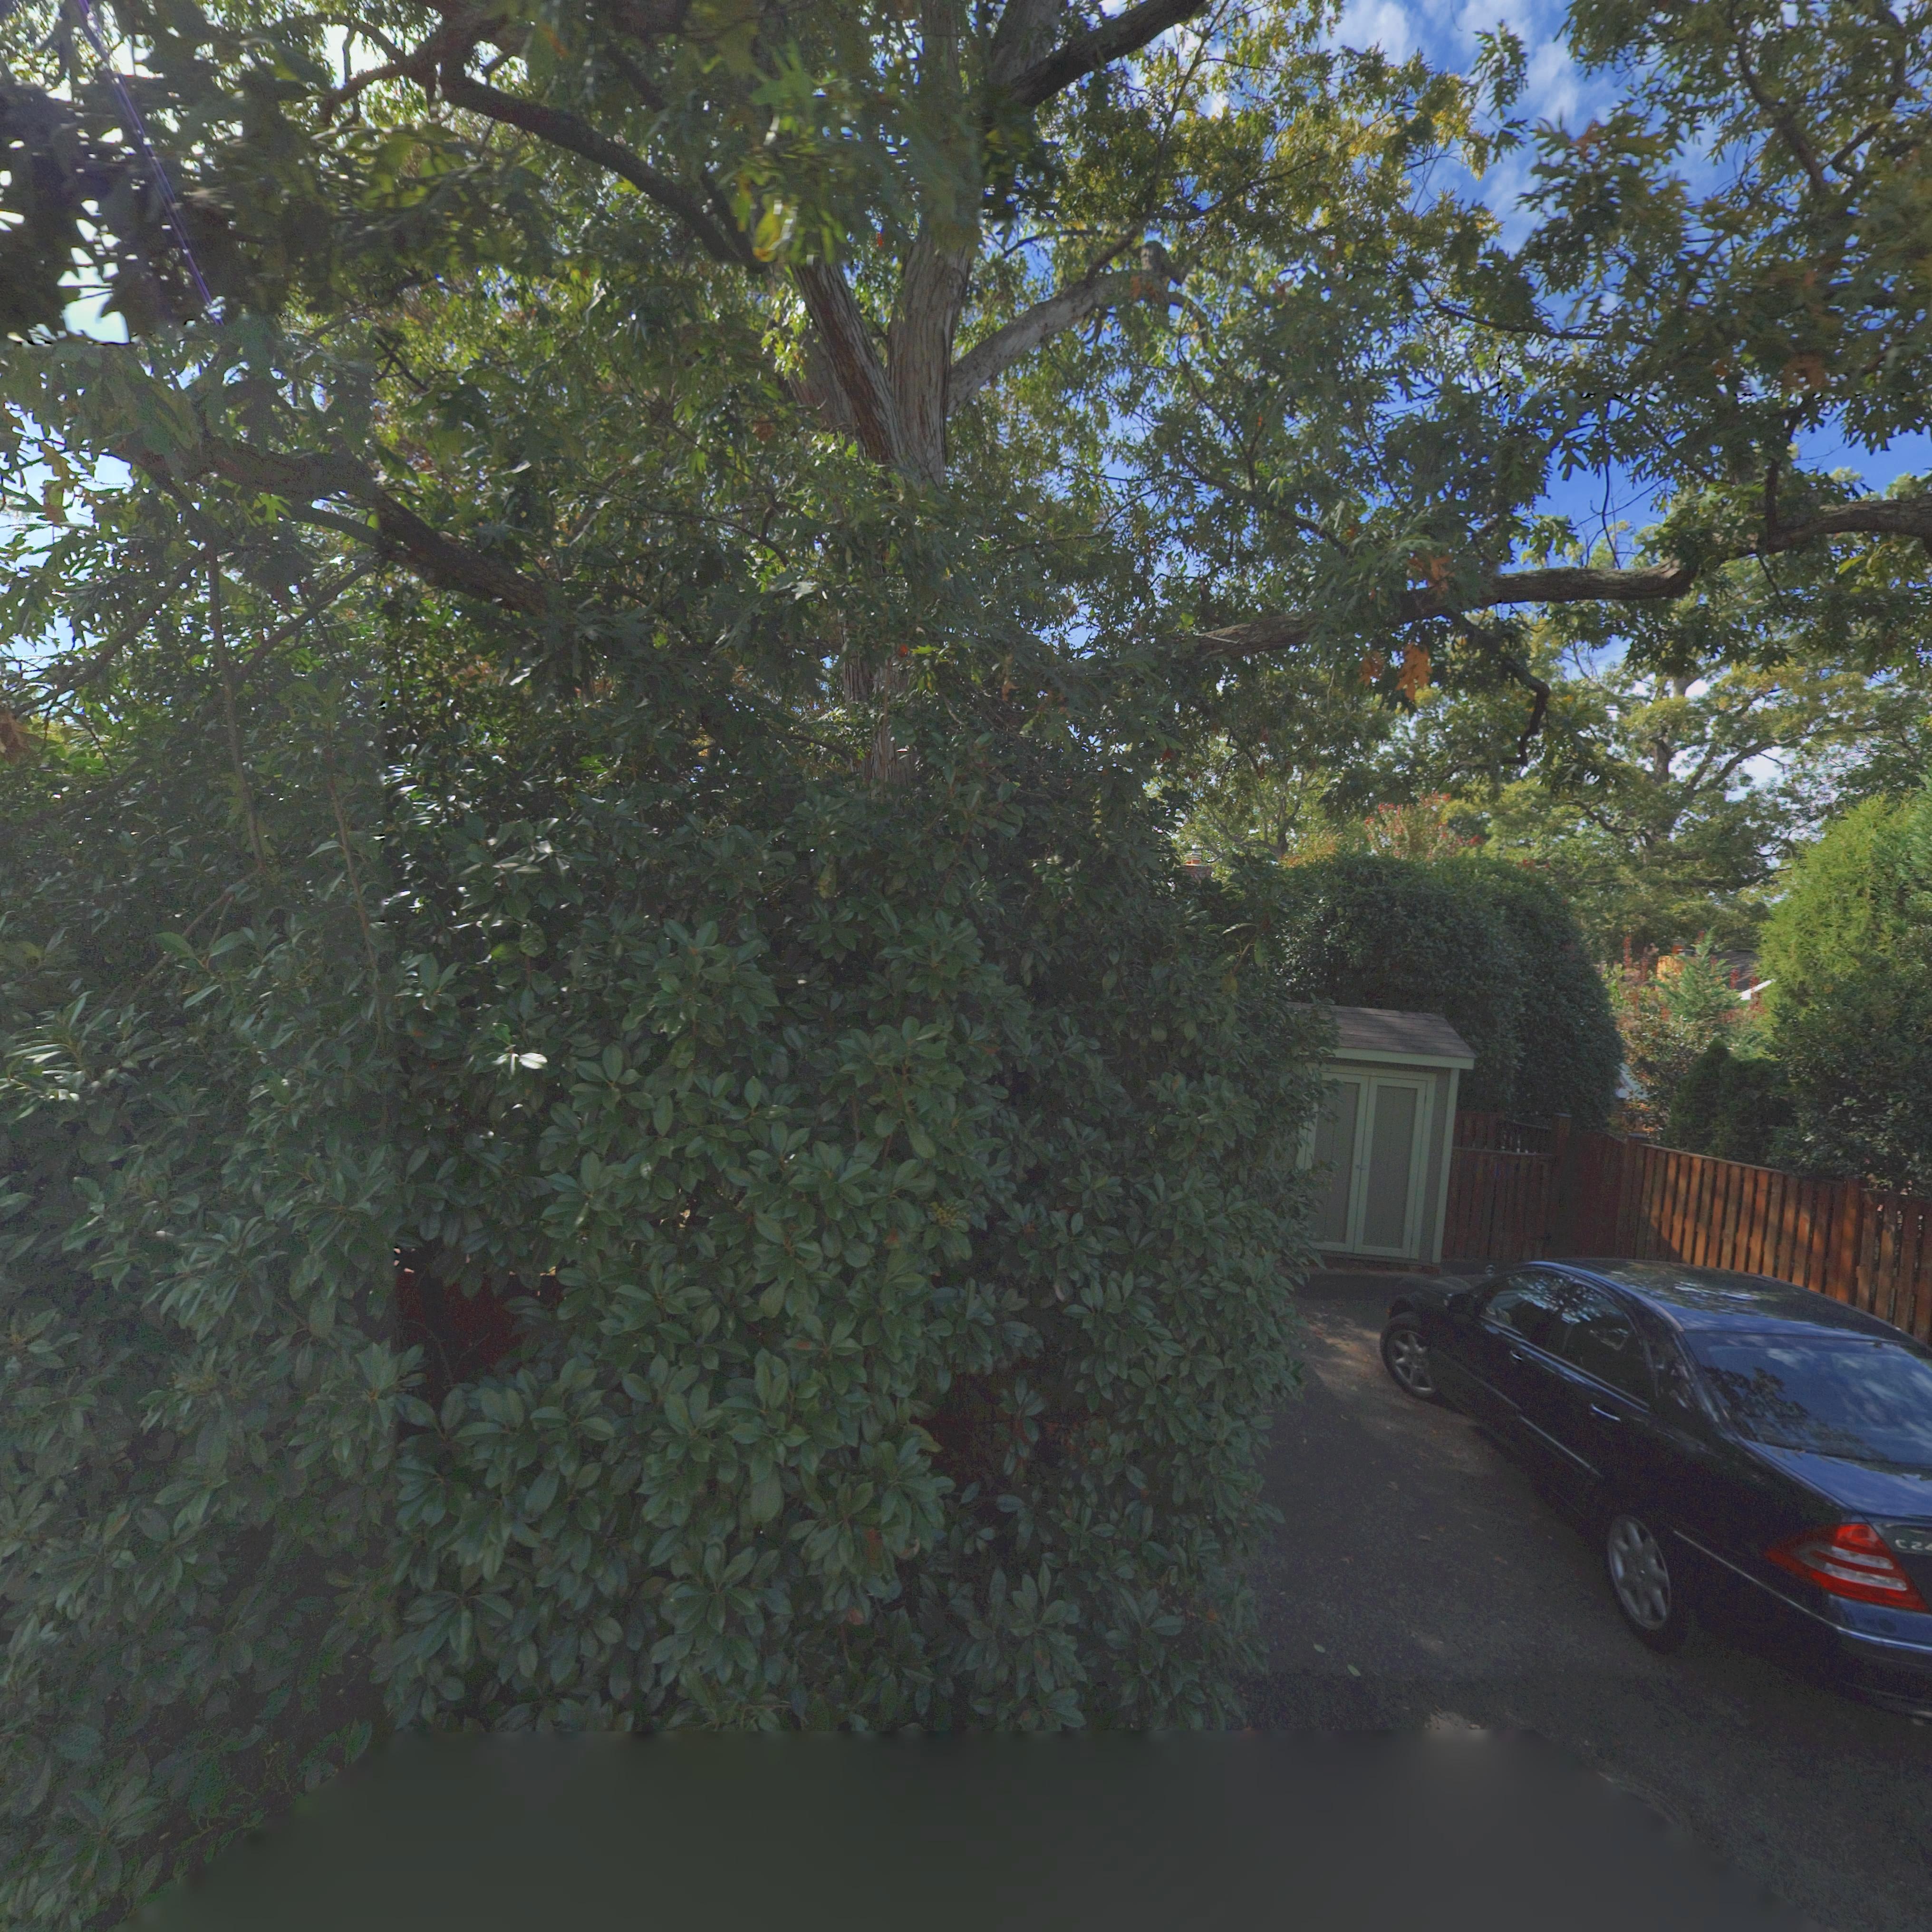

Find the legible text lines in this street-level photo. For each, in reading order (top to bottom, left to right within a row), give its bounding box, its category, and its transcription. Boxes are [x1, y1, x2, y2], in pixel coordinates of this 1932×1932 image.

[1892, 1536, 1924, 1552] None: C2